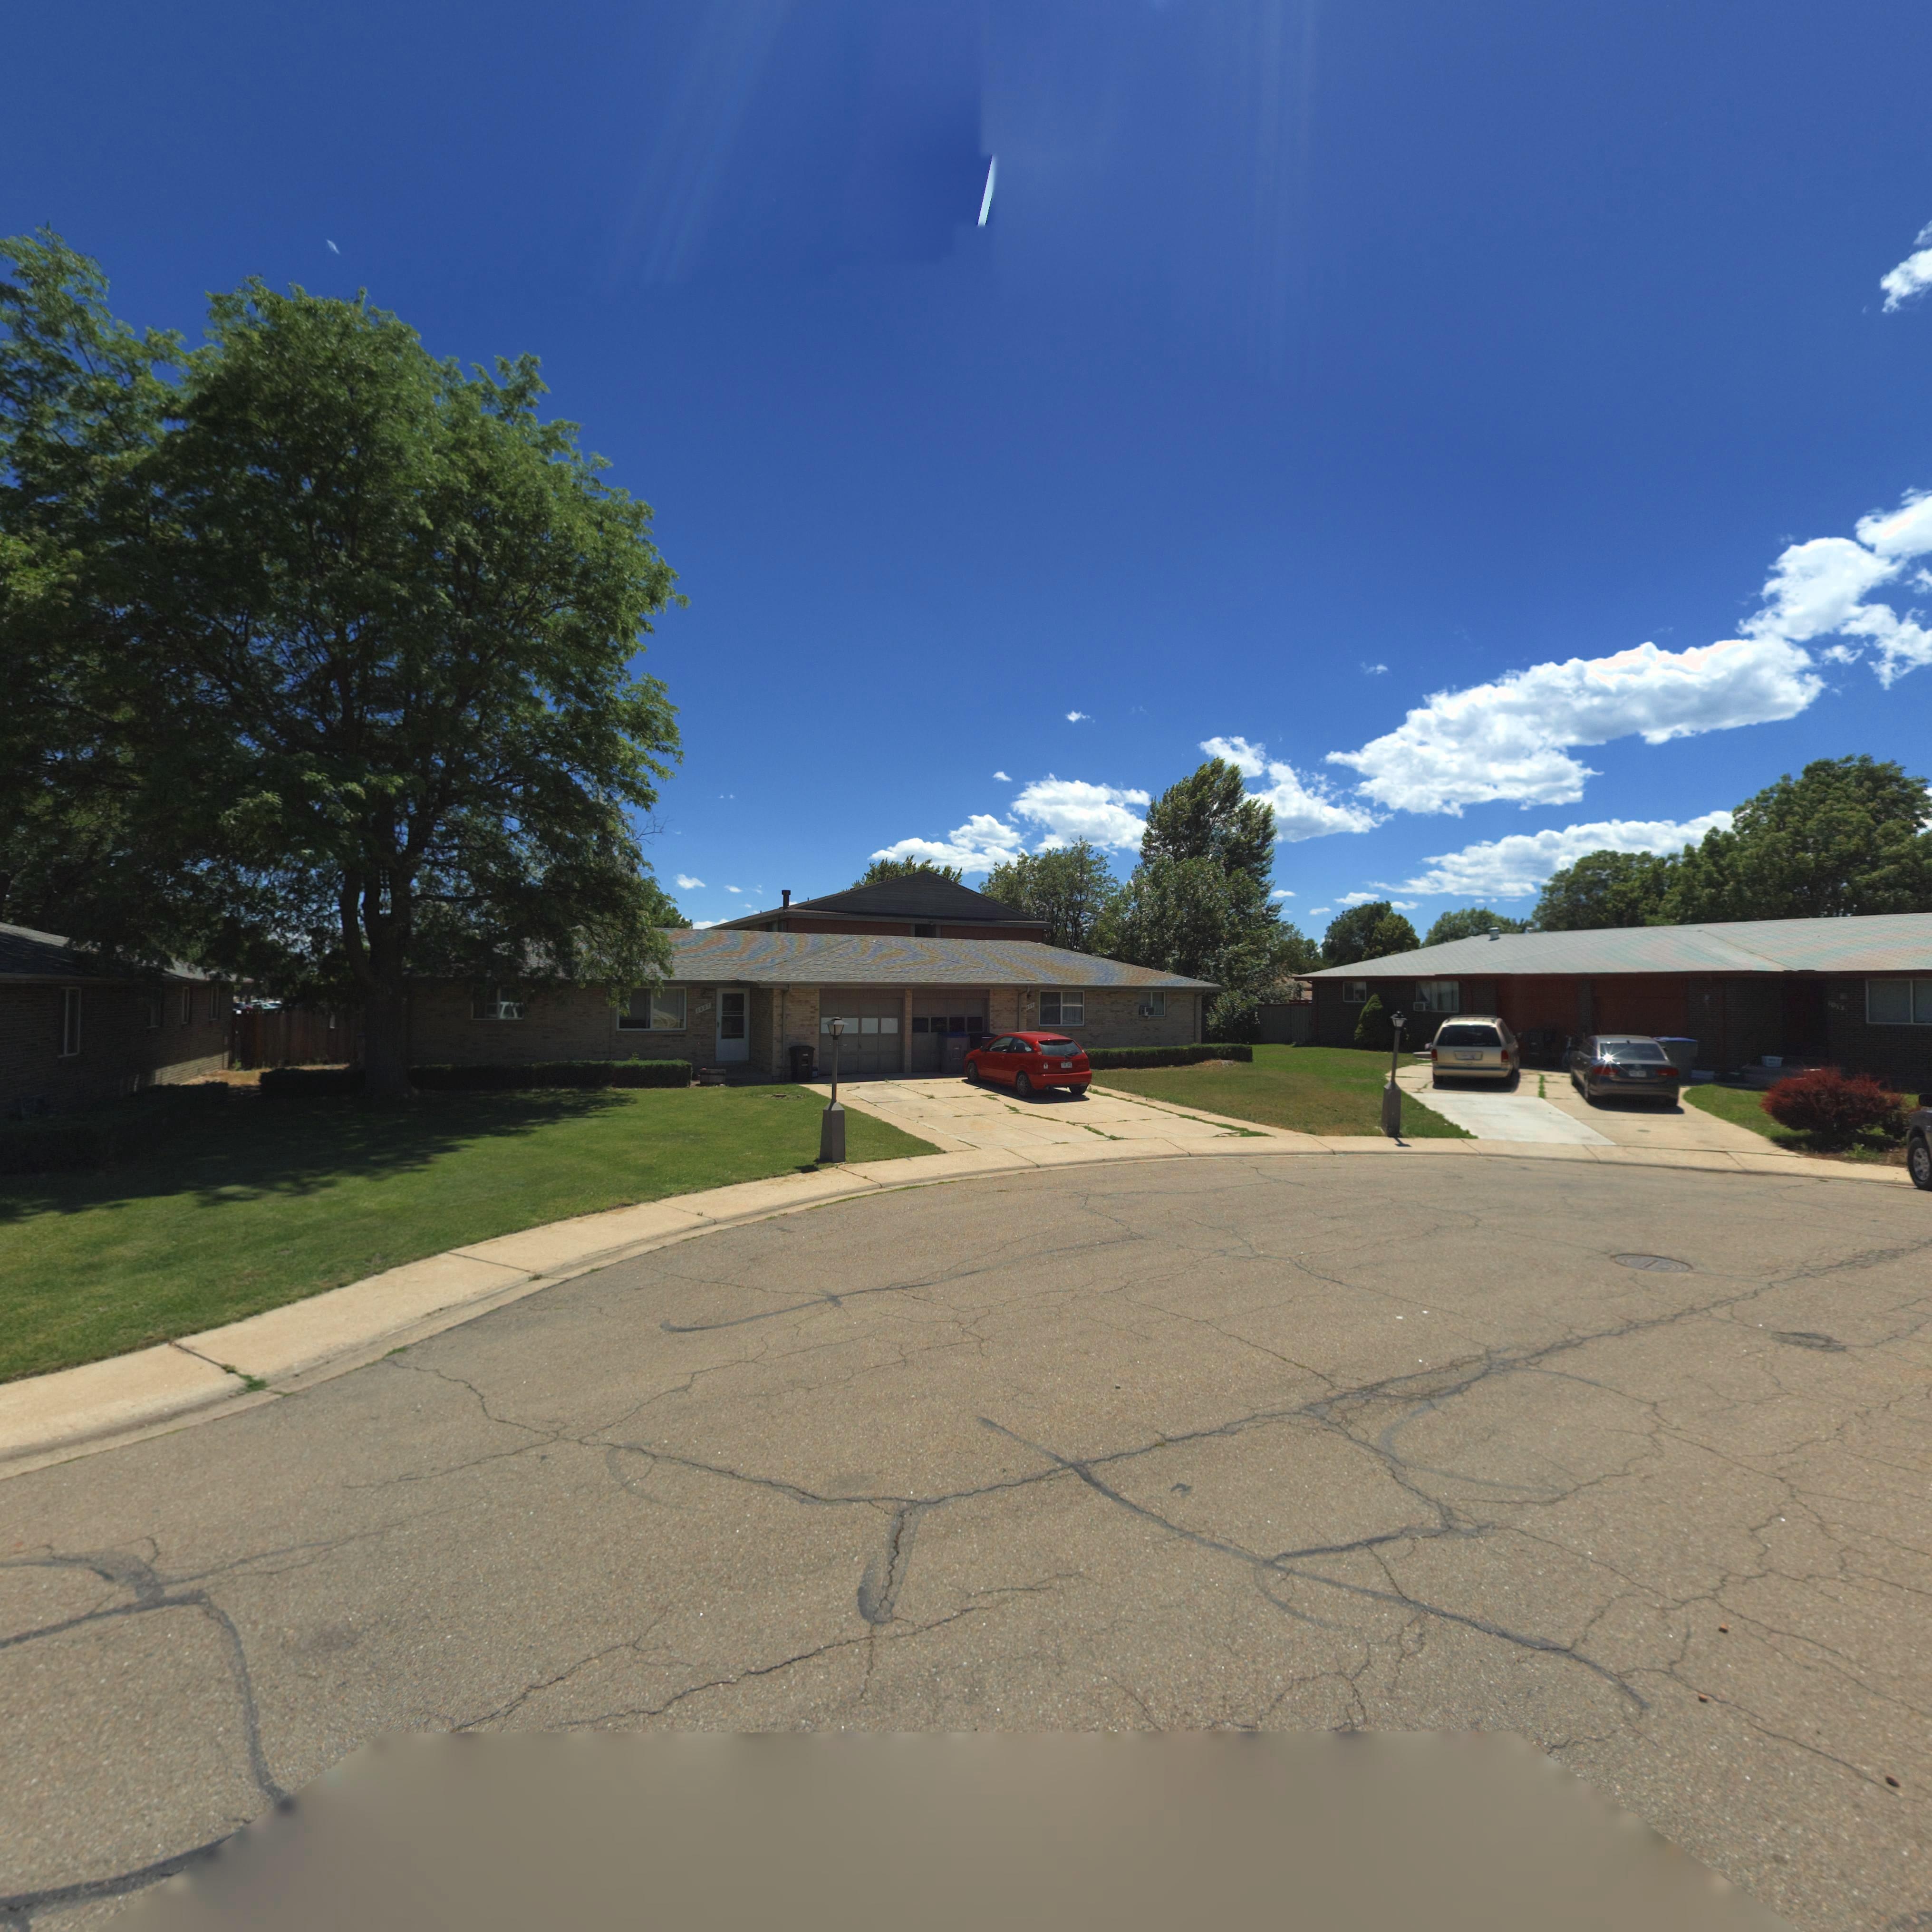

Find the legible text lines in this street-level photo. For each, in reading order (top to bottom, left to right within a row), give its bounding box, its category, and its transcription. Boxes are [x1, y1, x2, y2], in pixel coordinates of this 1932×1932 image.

[696, 1003, 709, 1013] StreetNumber: 1001
[1028, 1003, 1034, 1009] StreetNumber: 09
[1826, 999, 1845, 1011] StreetNumber: 1013